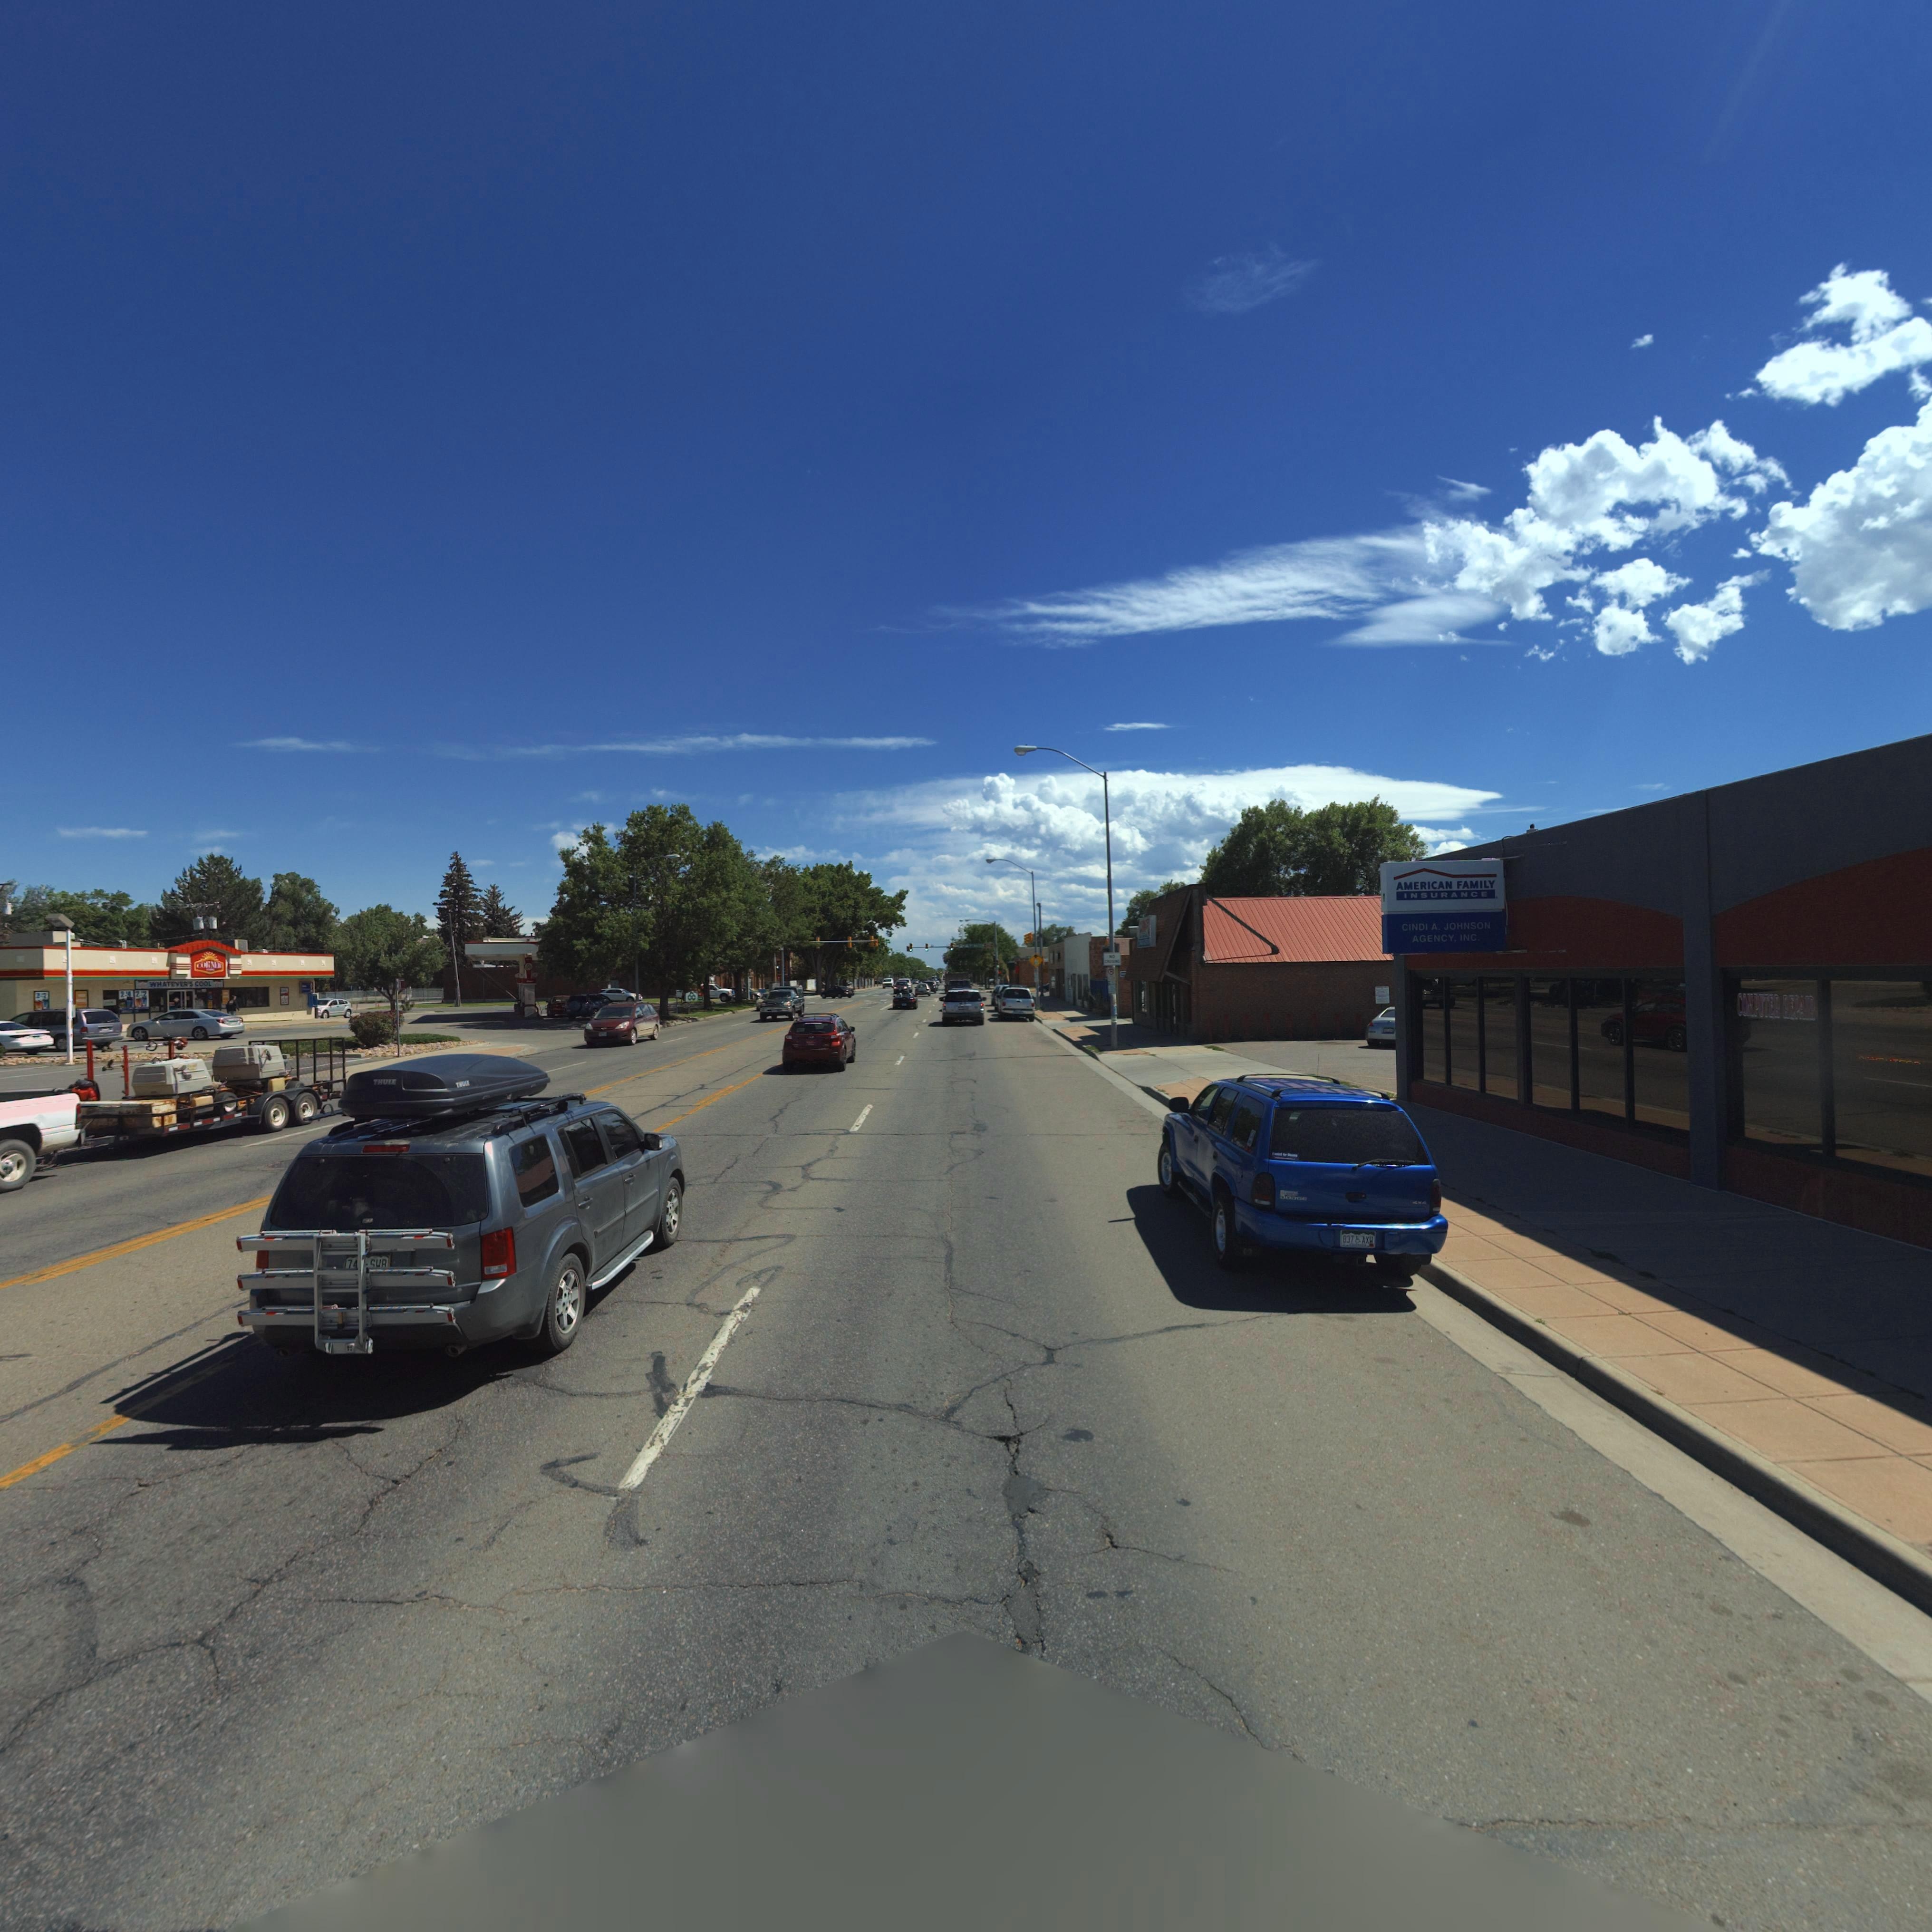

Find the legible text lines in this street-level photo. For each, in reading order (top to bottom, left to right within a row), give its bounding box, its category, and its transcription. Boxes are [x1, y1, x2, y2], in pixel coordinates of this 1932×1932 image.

[1395, 879, 1495, 890] BusinessName: AMERICAN FAMILY
[1404, 891, 1487, 898] BusinessName: INSURANCE
[1401, 921, 1490, 931] BusinessName: CINDI A. JOHNSON
[1411, 934, 1480, 942] BusinessName: AGENCY, INC.
[197, 960, 222, 969] BusinessName: CORNE*